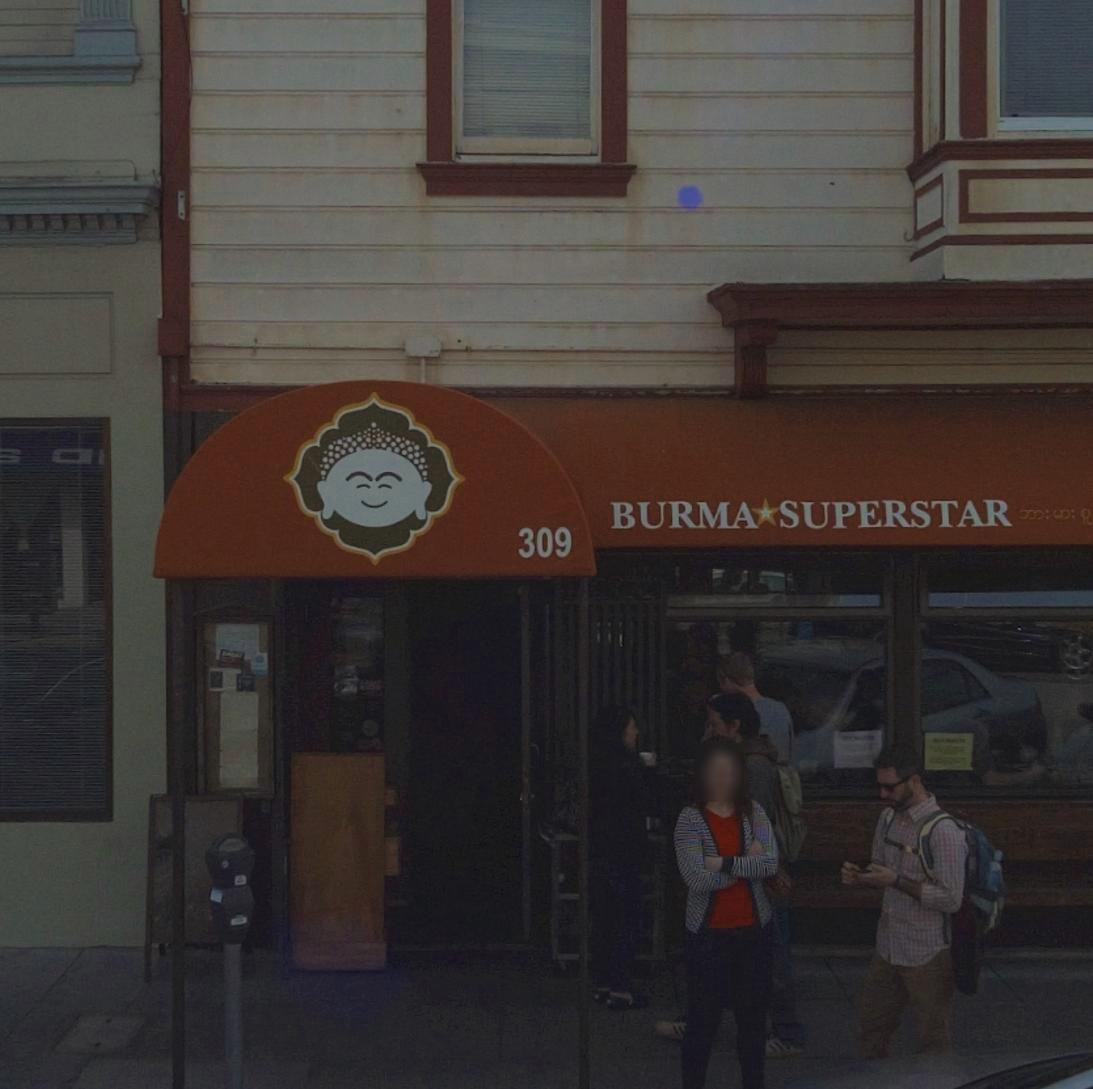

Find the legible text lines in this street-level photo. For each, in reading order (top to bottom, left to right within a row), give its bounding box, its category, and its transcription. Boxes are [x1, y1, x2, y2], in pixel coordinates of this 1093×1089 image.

[608, 498, 1015, 531] BusinessName: BURMA*SUPERSTAR
[516, 526, 573, 559] StreetNumber: 309